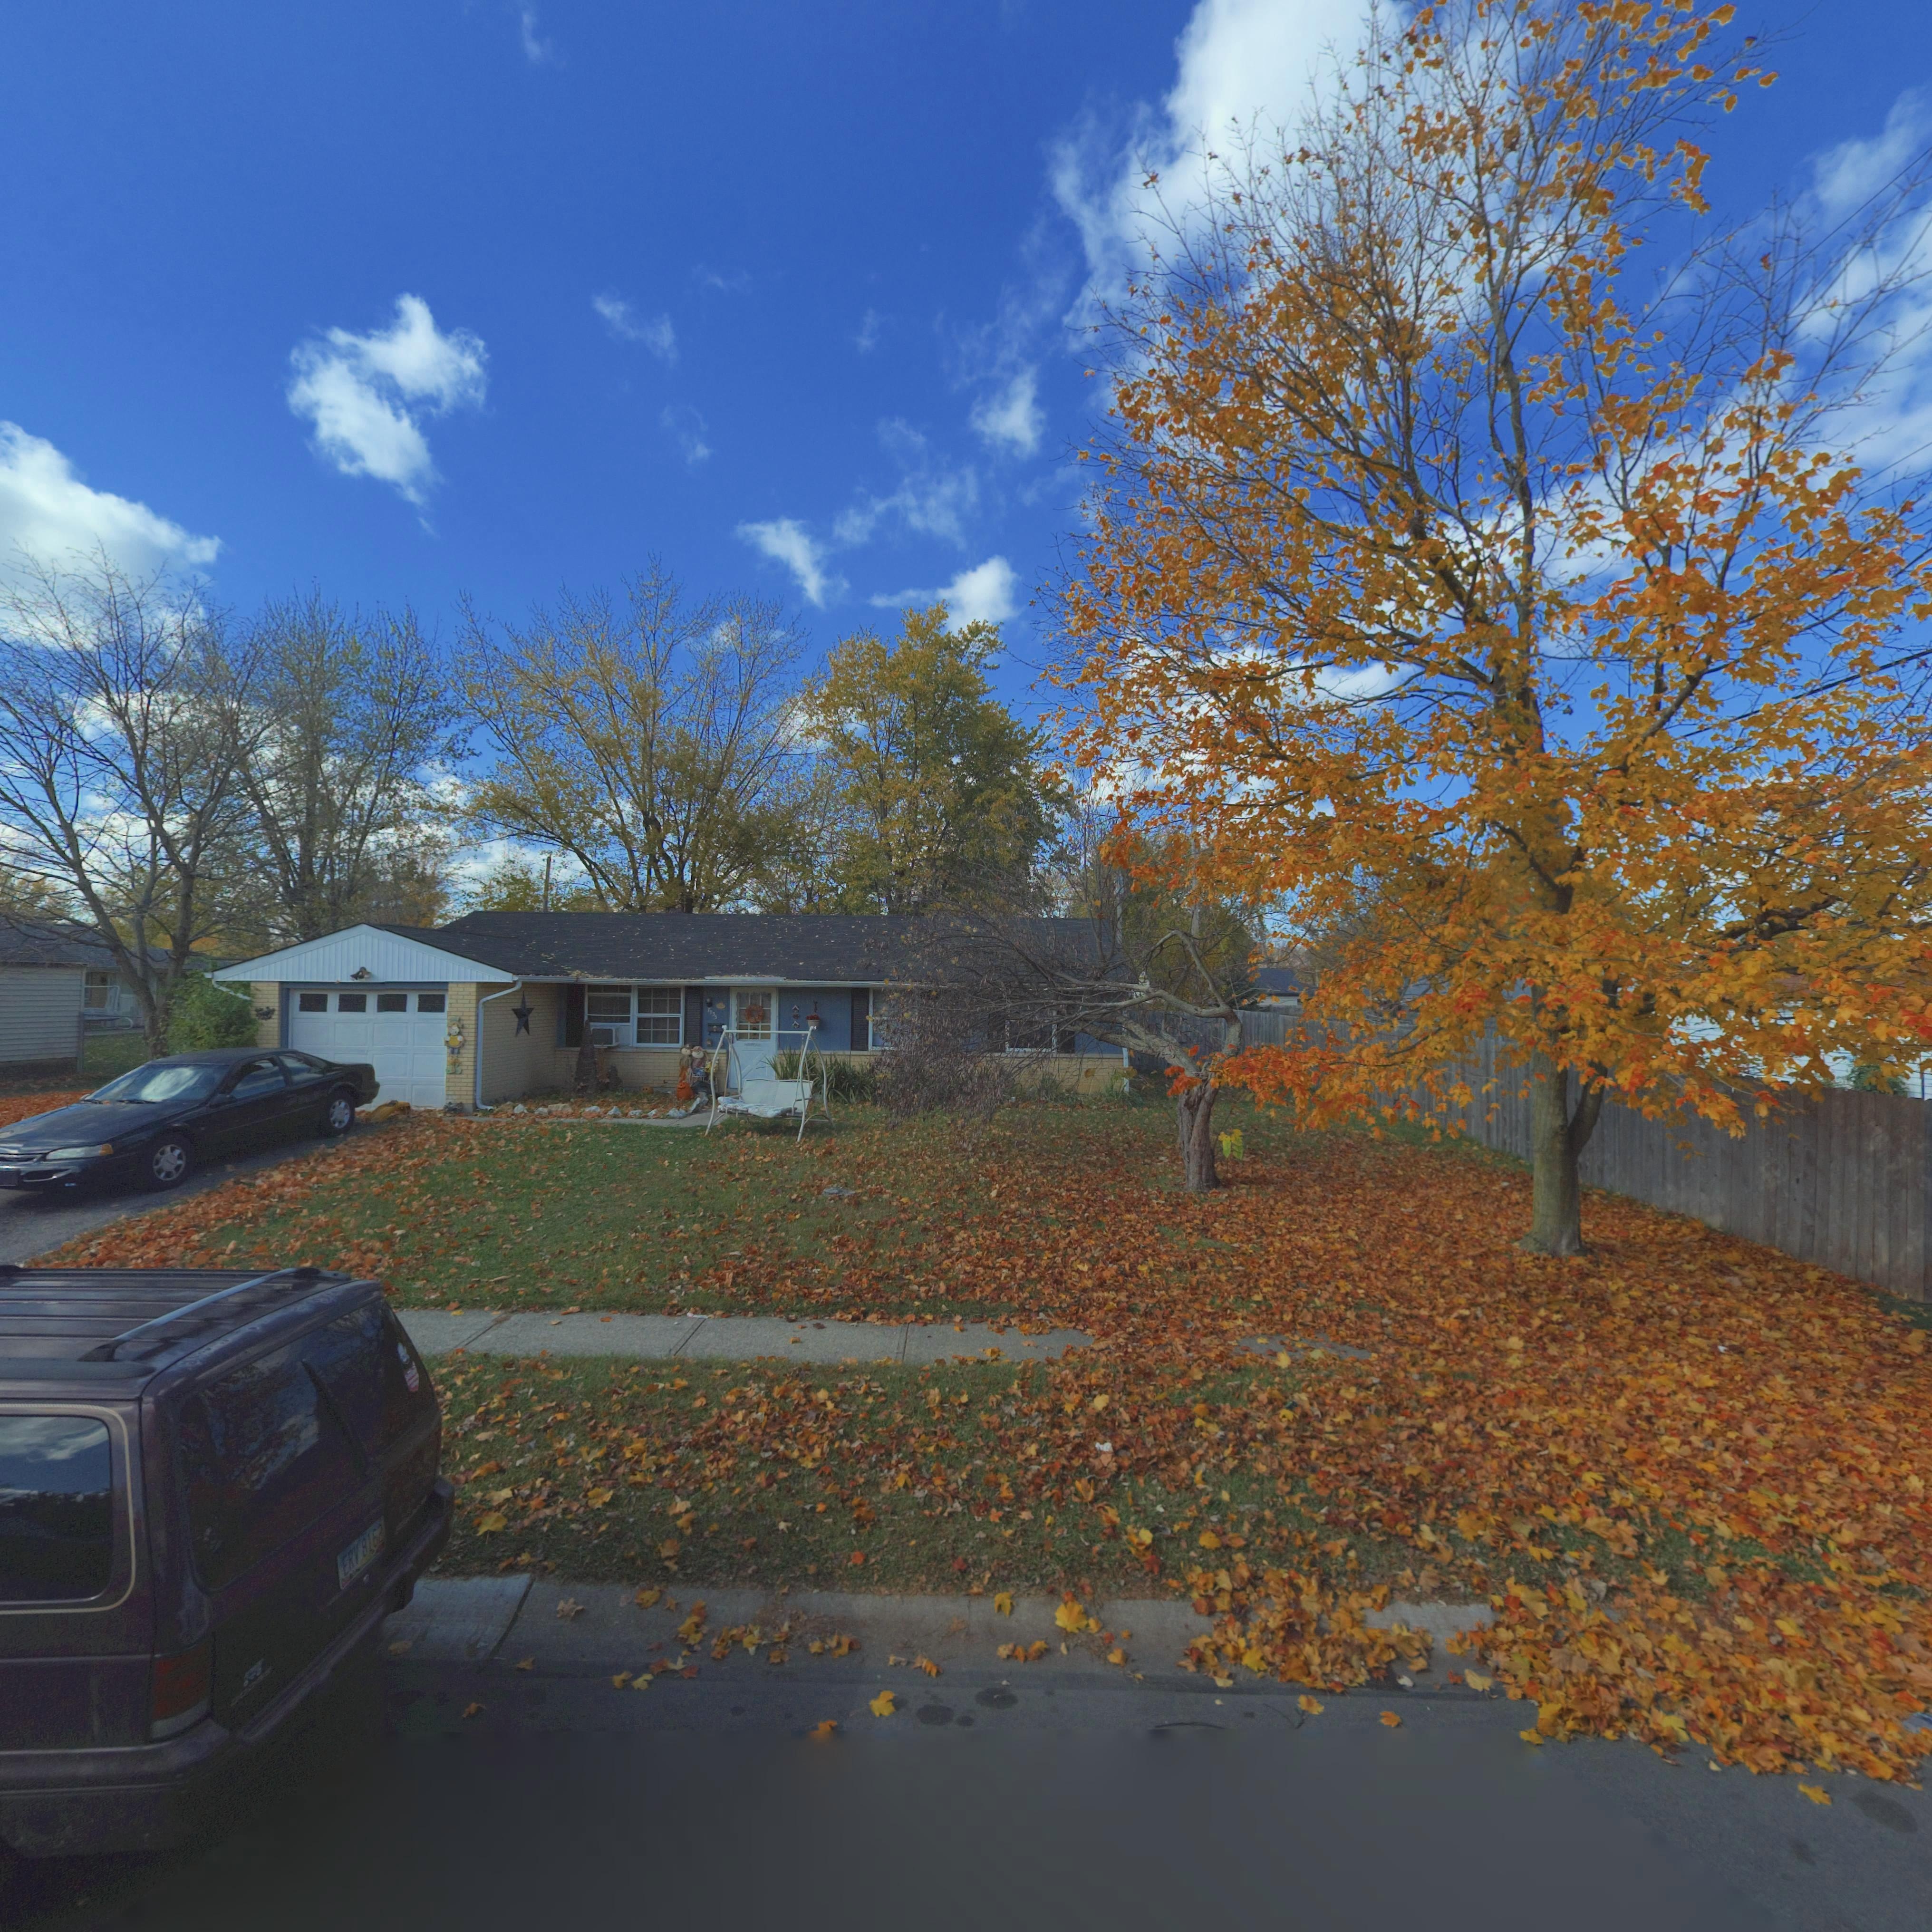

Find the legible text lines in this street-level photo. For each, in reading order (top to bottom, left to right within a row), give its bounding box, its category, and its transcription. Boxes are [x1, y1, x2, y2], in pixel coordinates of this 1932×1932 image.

[707, 1007, 718, 1020] StreetNumber: 7935